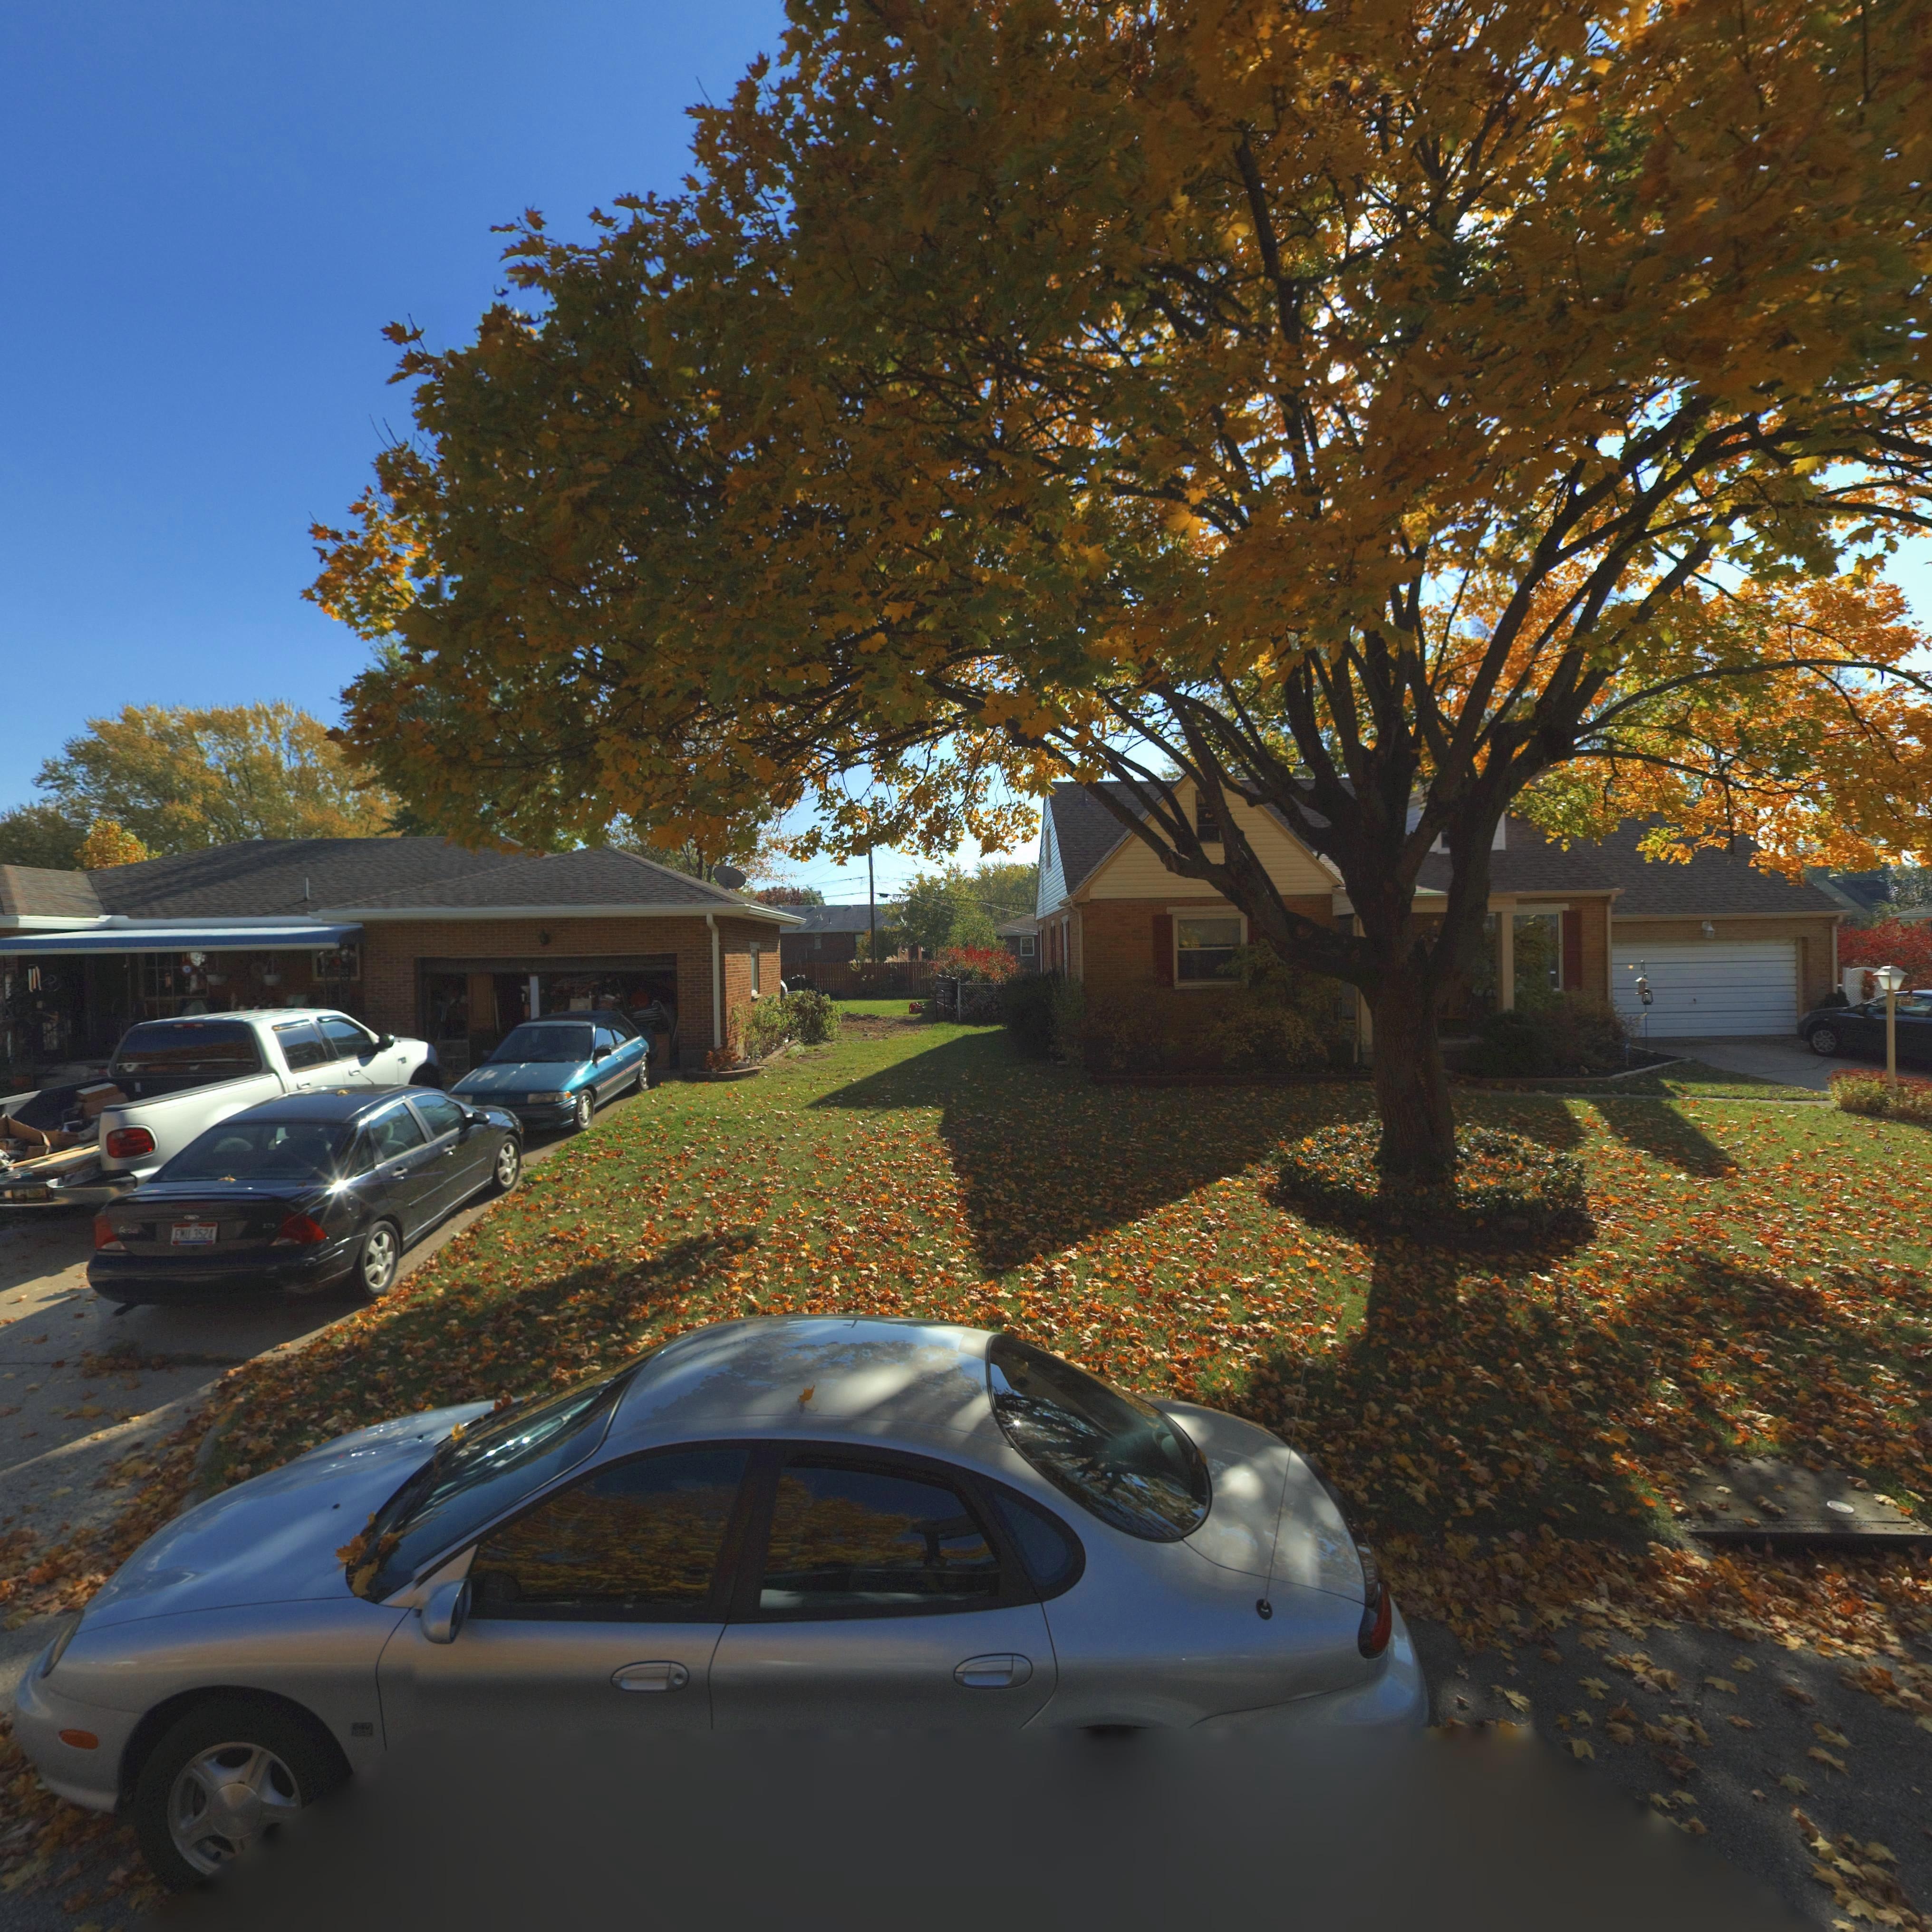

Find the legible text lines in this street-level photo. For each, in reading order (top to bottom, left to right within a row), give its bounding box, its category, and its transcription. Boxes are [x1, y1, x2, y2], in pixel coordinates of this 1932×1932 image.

[117, 1225, 139, 1236] None: focus
[173, 1227, 214, 1240] None: EMU*3524
[261, 1223, 269, 1229] None: L